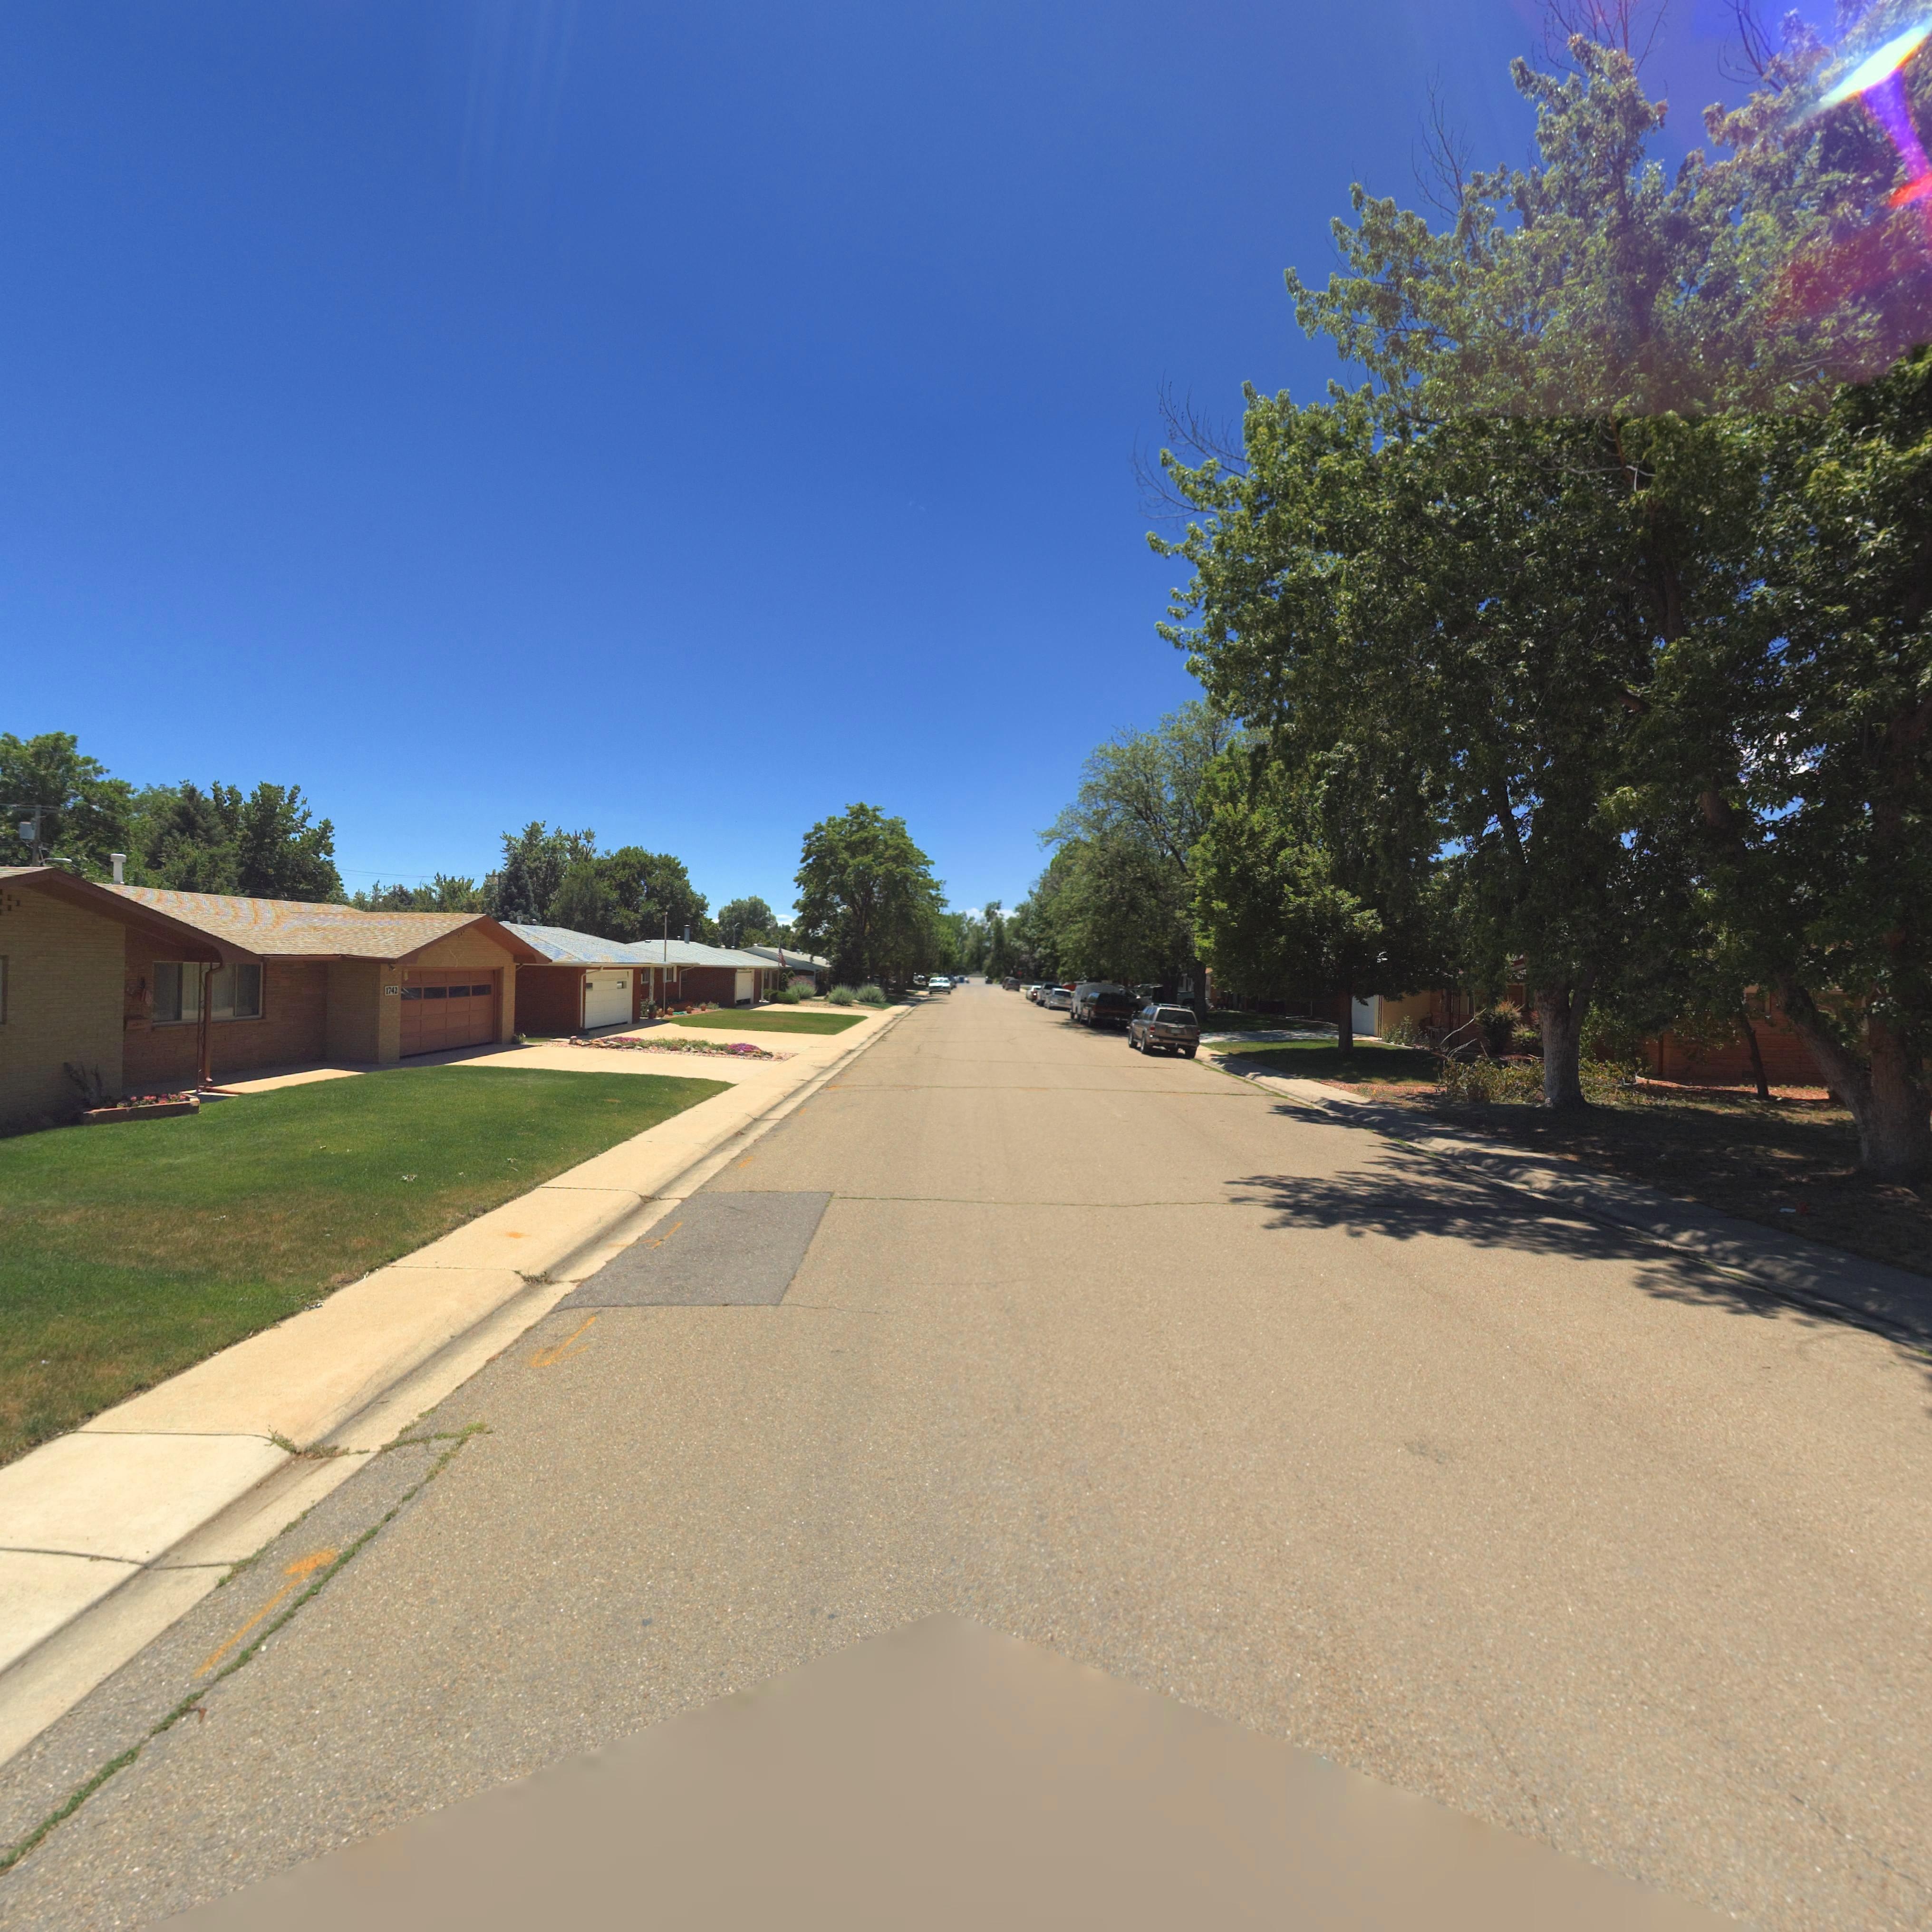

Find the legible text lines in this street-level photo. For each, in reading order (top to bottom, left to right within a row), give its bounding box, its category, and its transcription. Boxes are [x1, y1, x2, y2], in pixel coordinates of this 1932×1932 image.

[385, 986, 397, 995] StreetNumber: 1742